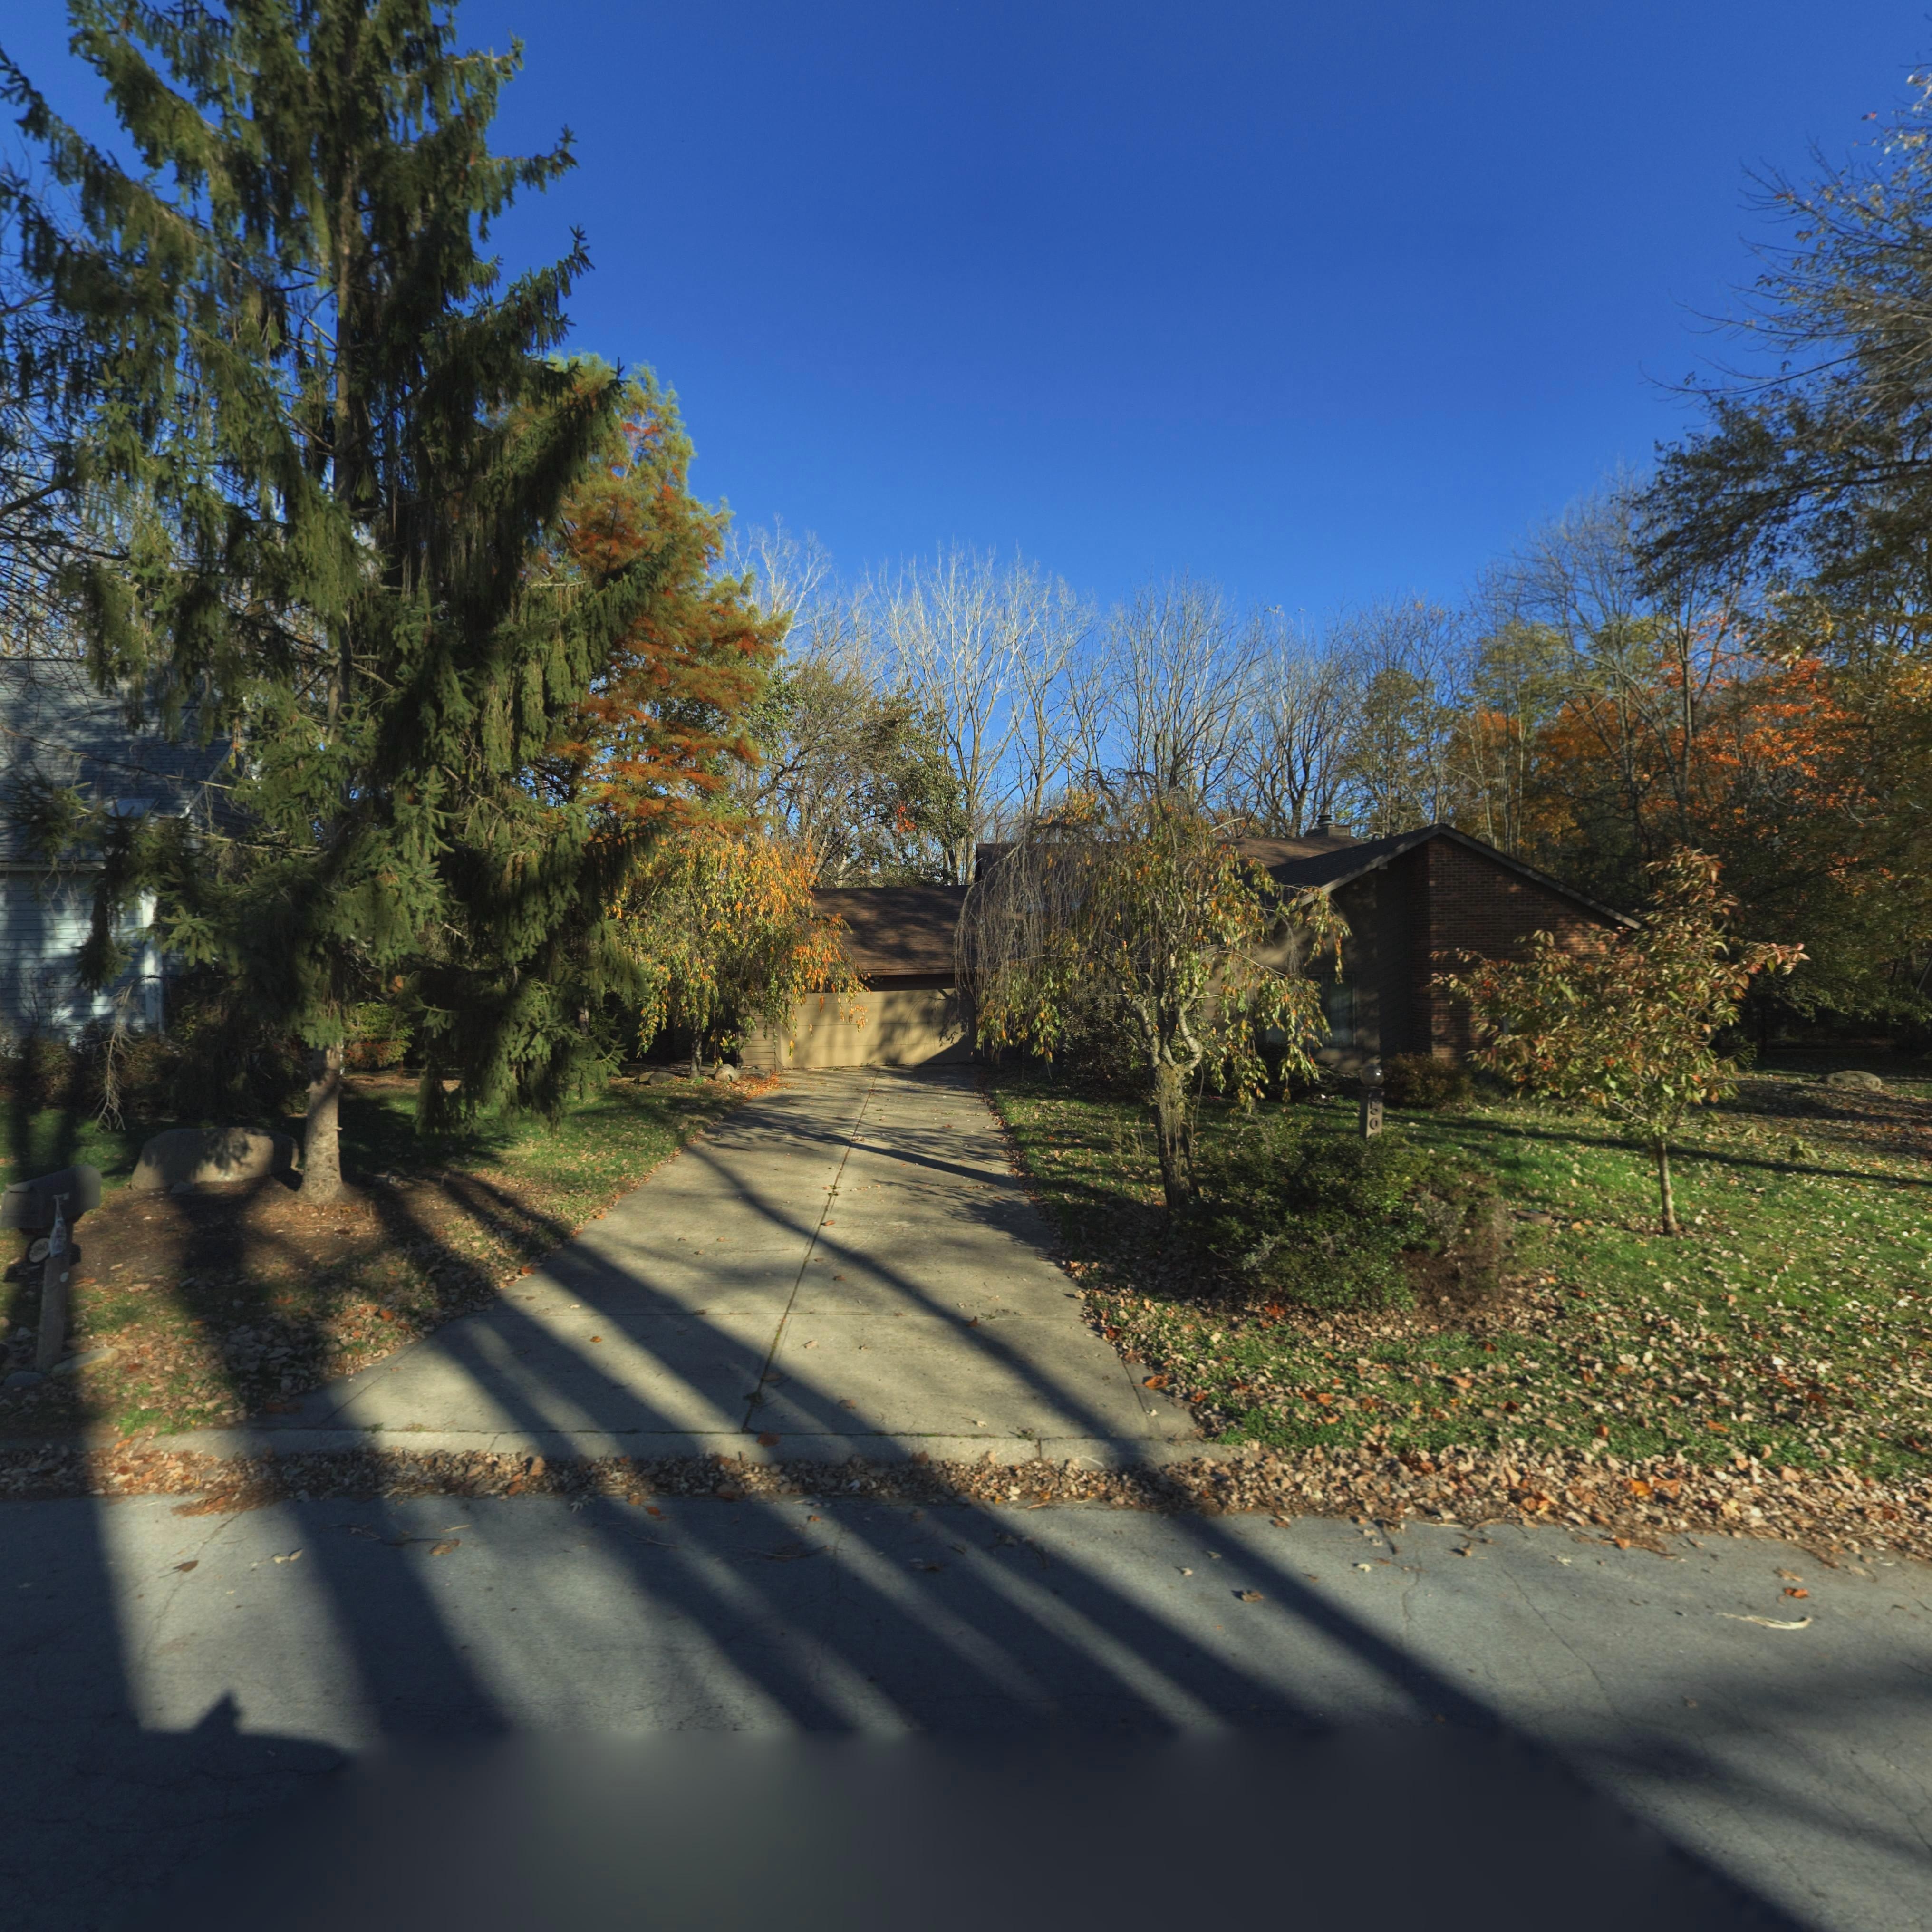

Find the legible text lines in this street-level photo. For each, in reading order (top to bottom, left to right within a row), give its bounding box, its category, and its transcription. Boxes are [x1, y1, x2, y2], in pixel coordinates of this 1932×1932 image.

[1369, 1100, 1382, 1130] StreetNumber: 50
[27, 1240, 49, 1261] StreetNumber: 5090